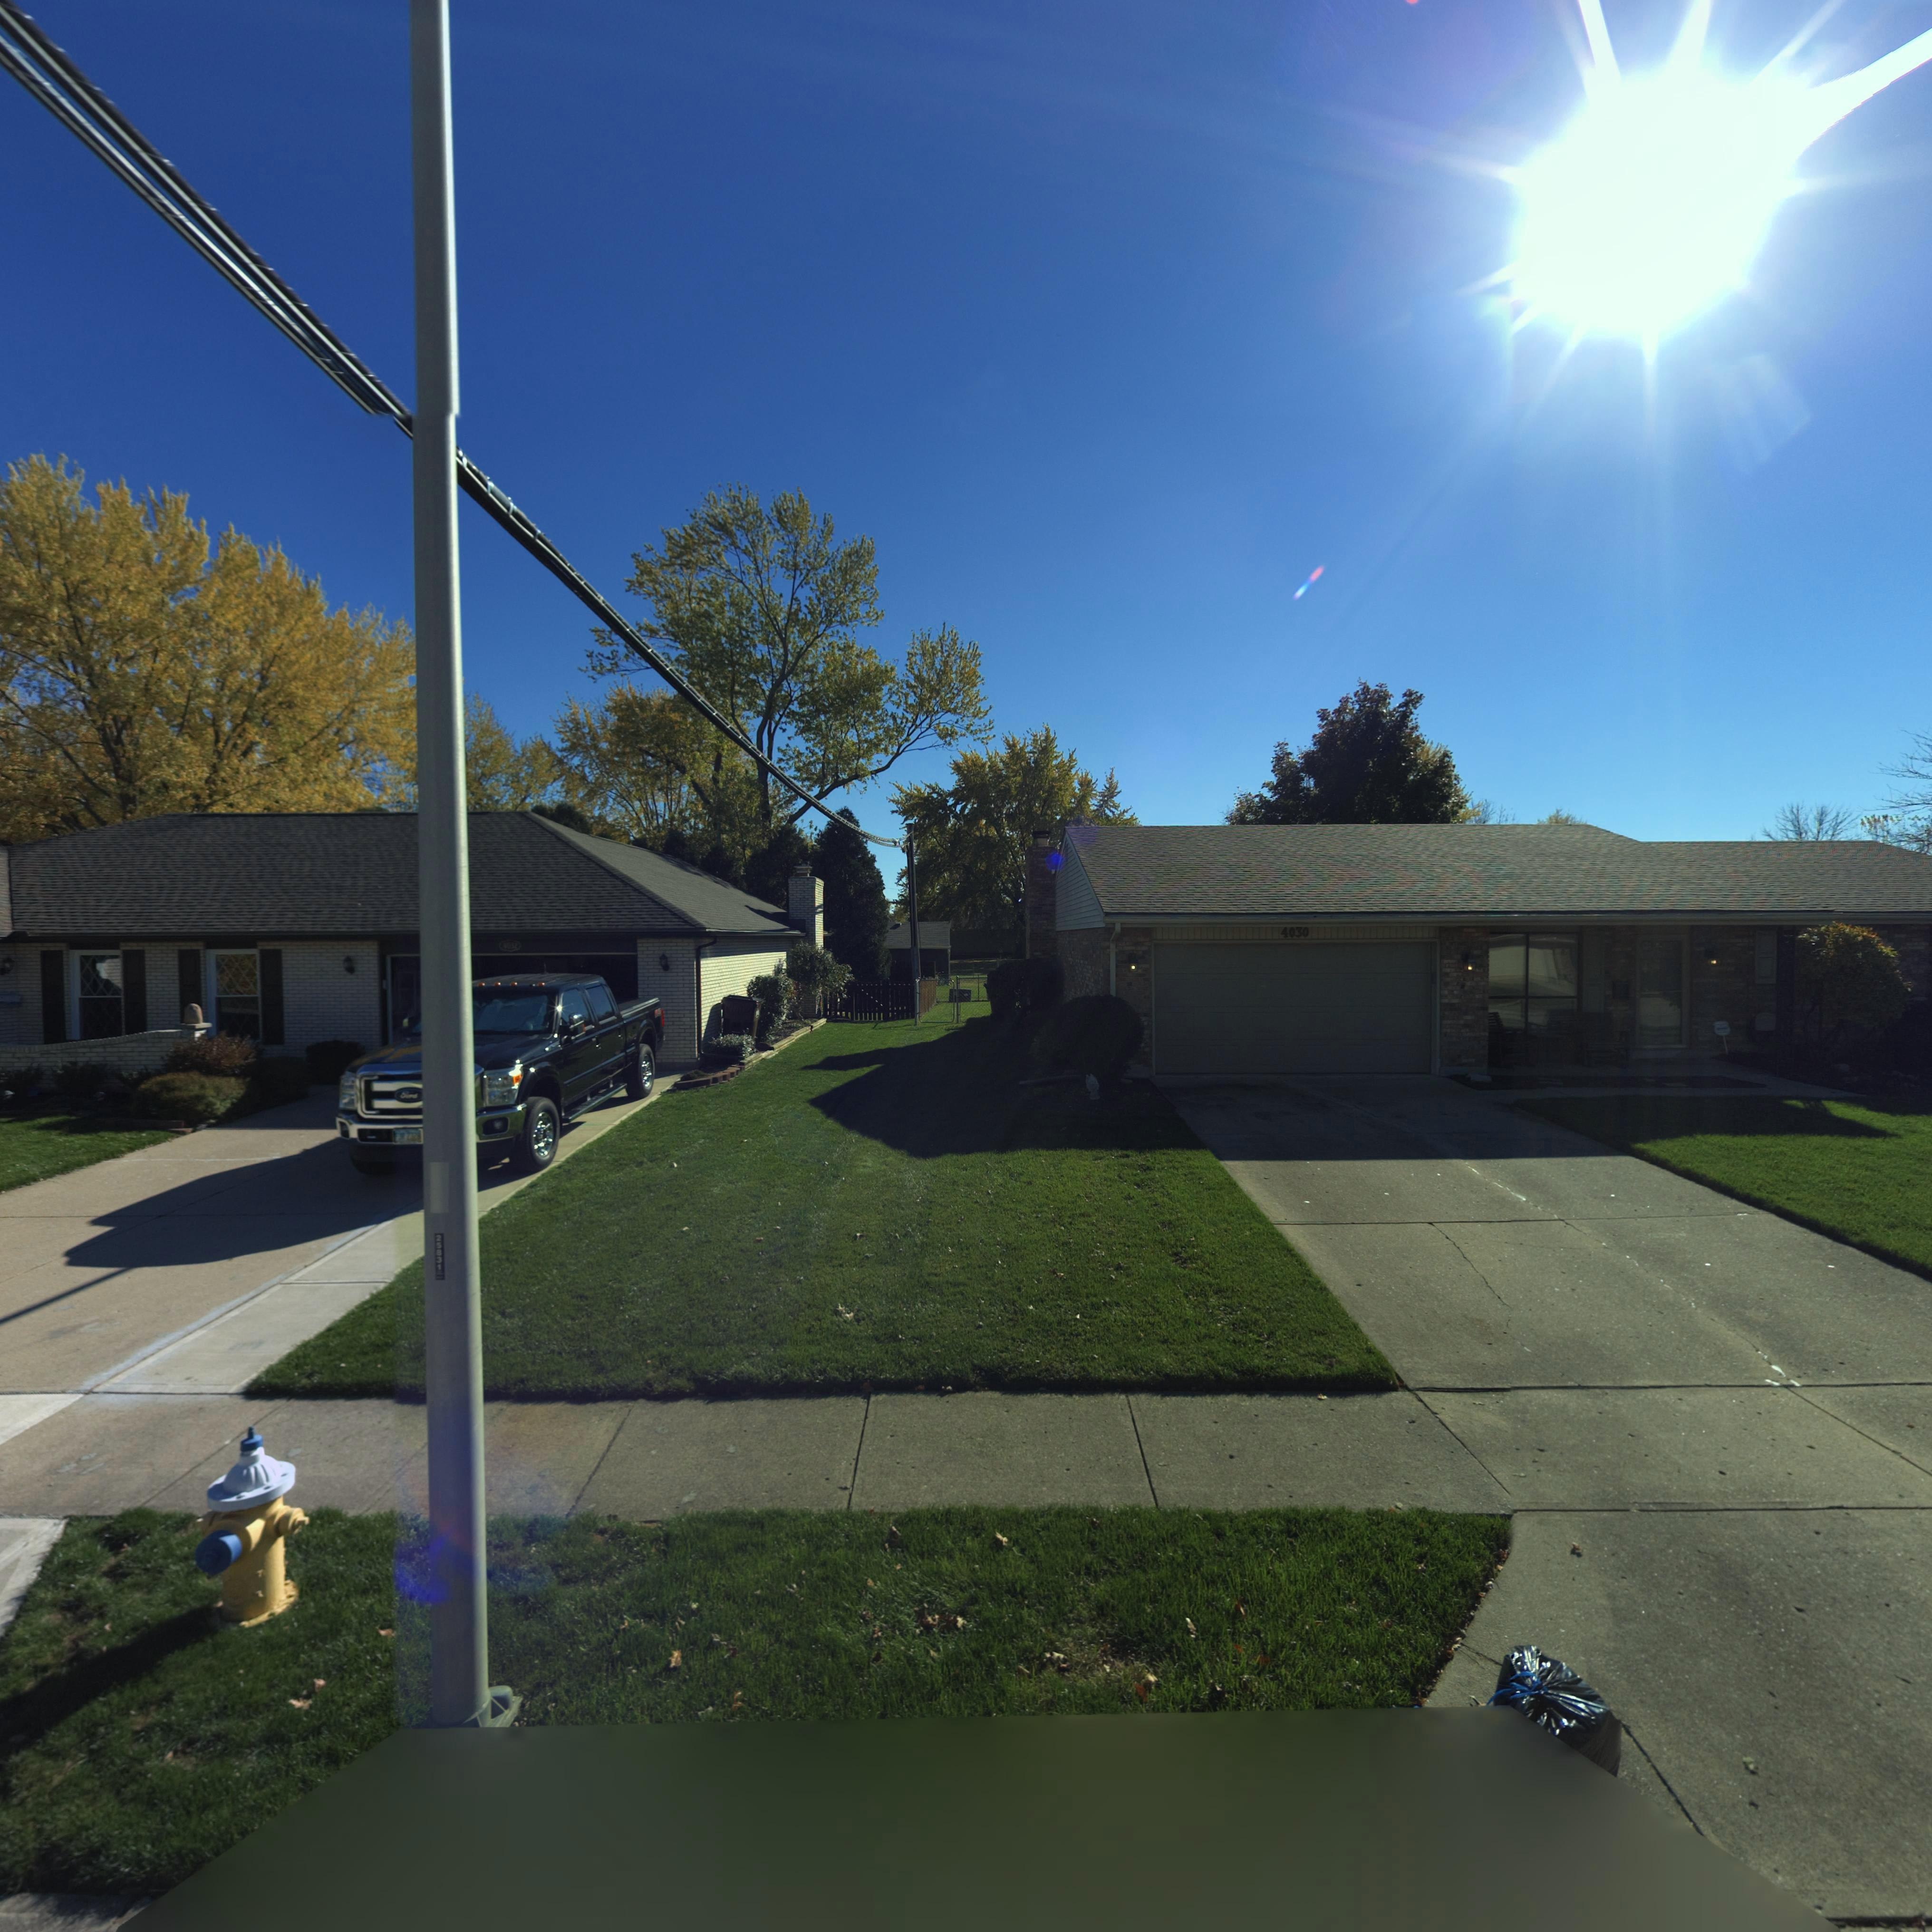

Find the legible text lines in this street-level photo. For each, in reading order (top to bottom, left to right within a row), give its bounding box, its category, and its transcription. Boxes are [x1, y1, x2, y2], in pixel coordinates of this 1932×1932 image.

[1279, 926, 1309, 939] StreetNumber: 4030
[502, 941, 519, 949] StreetNumber: 4032